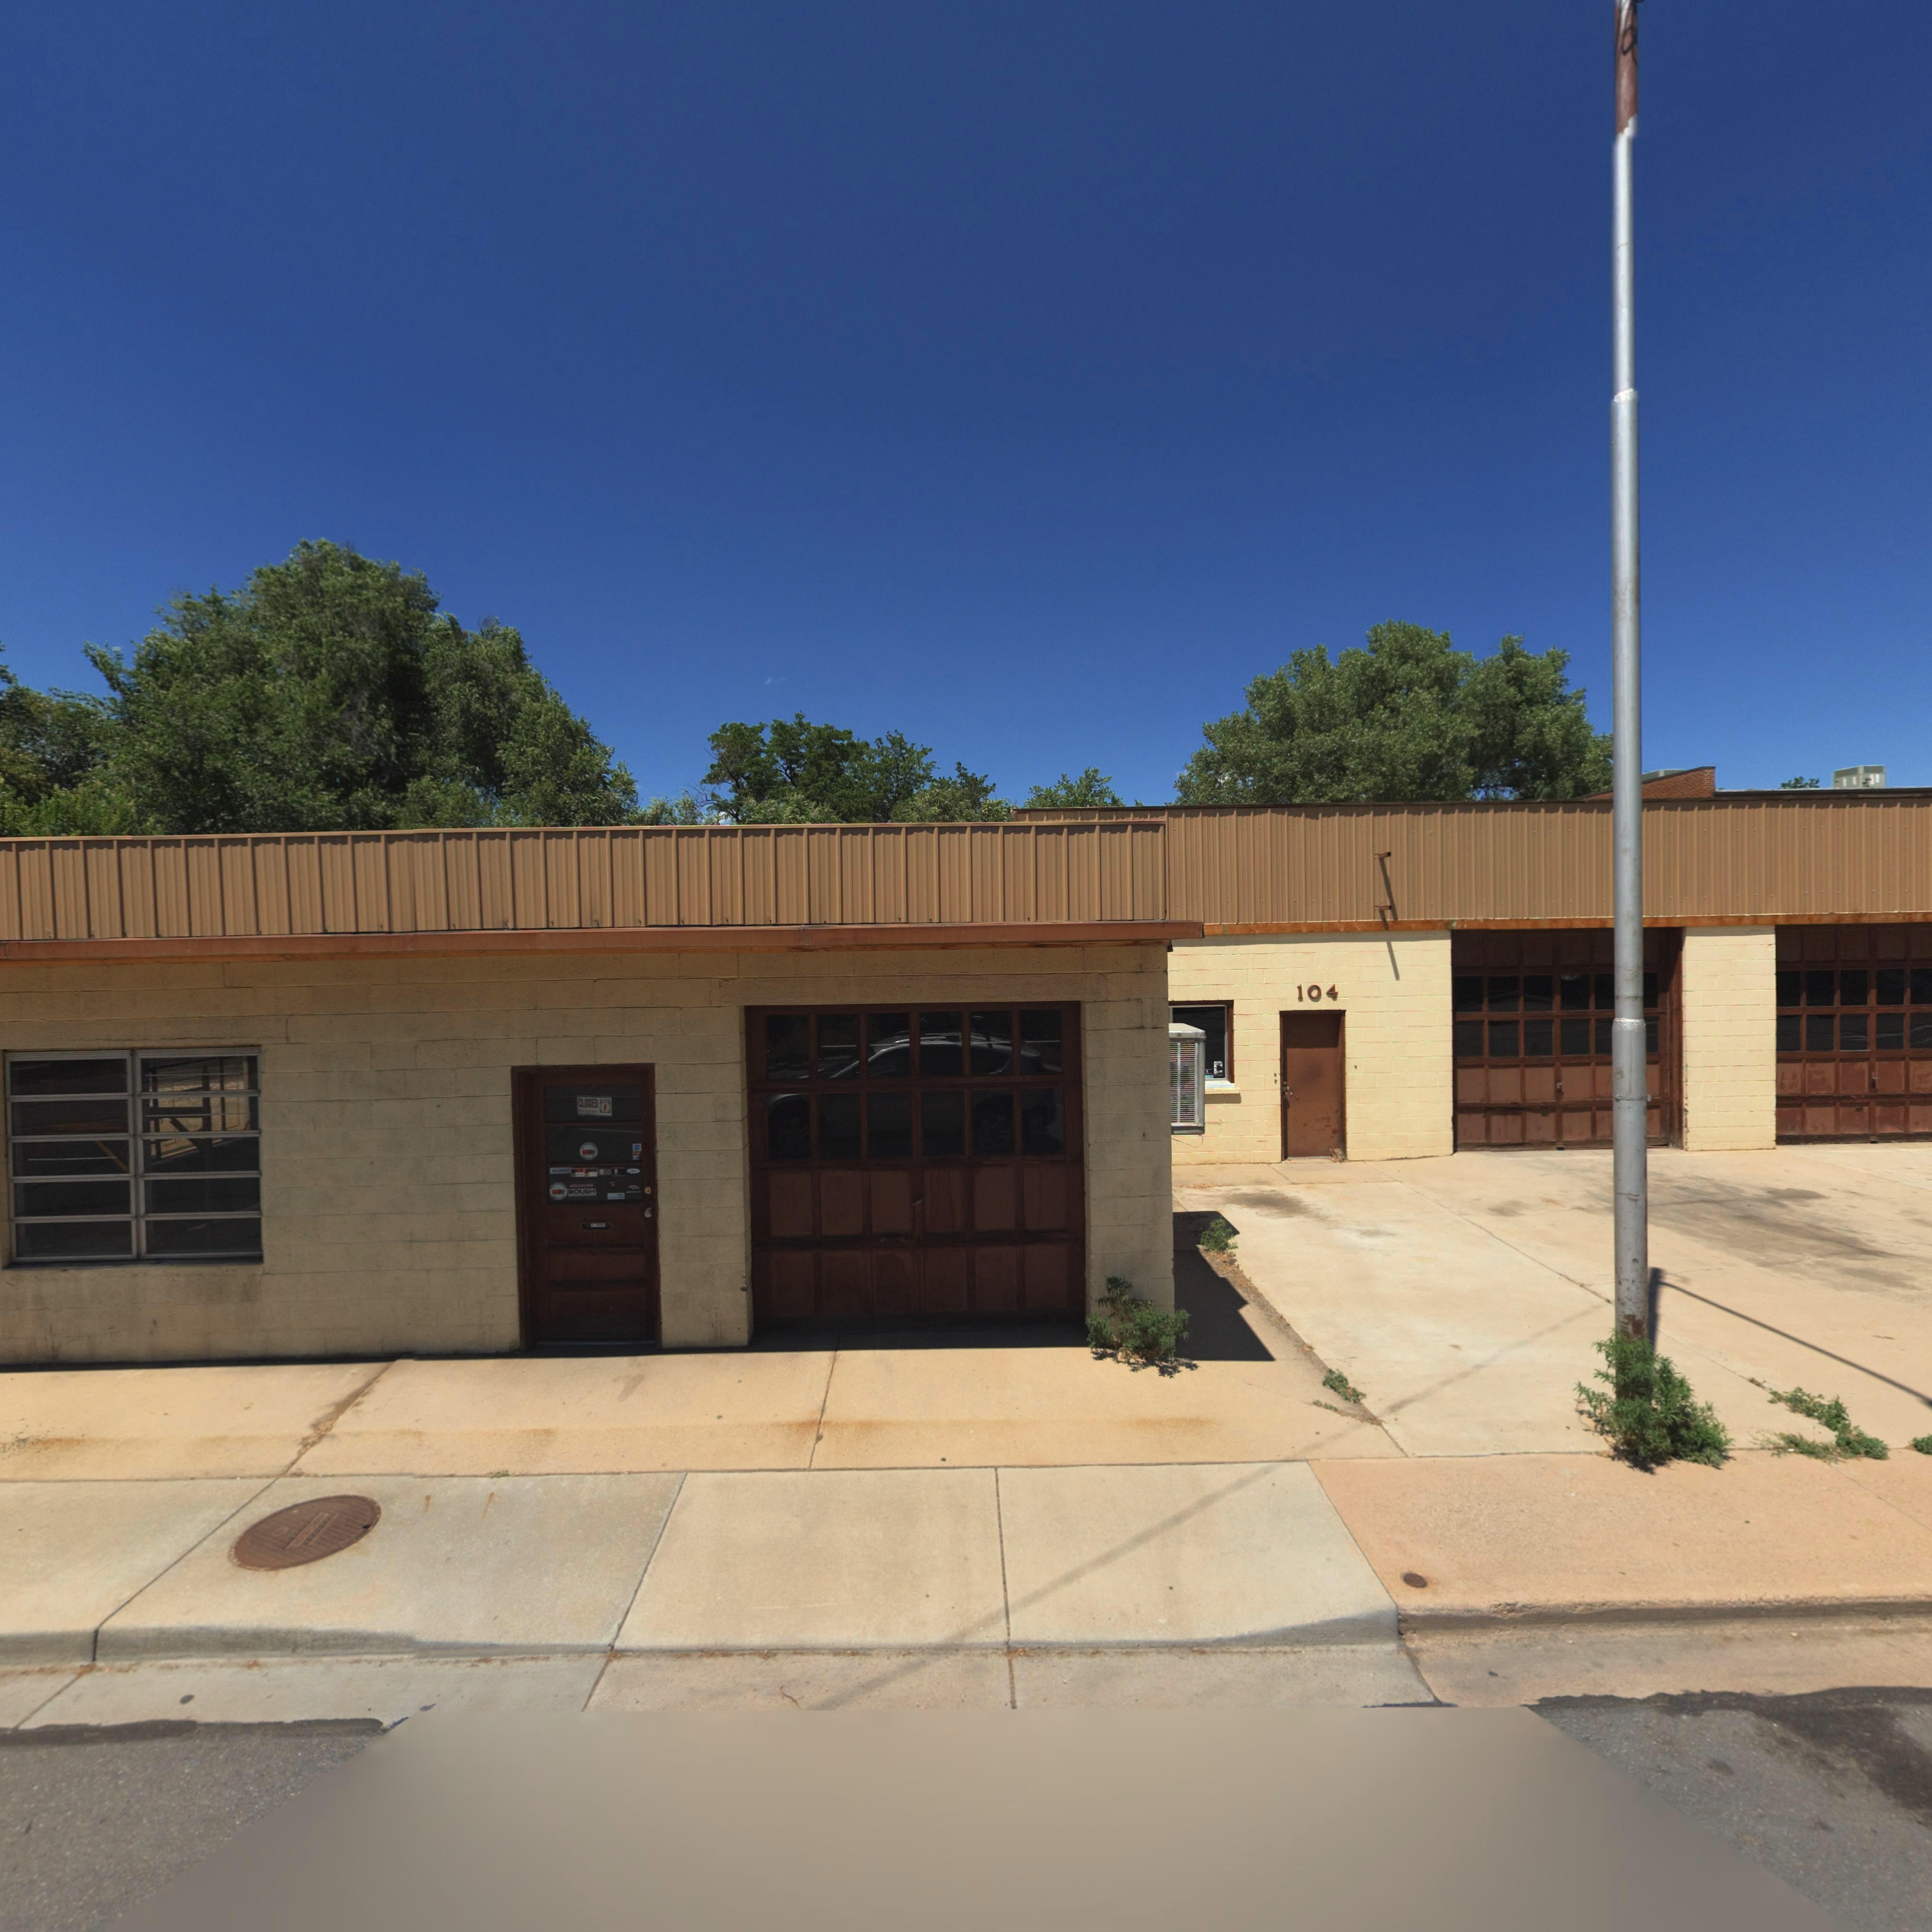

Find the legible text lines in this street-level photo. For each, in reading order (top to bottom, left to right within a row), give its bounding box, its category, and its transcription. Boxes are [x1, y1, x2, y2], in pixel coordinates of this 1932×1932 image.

[1296, 983, 1337, 999] StreetNumber: 104